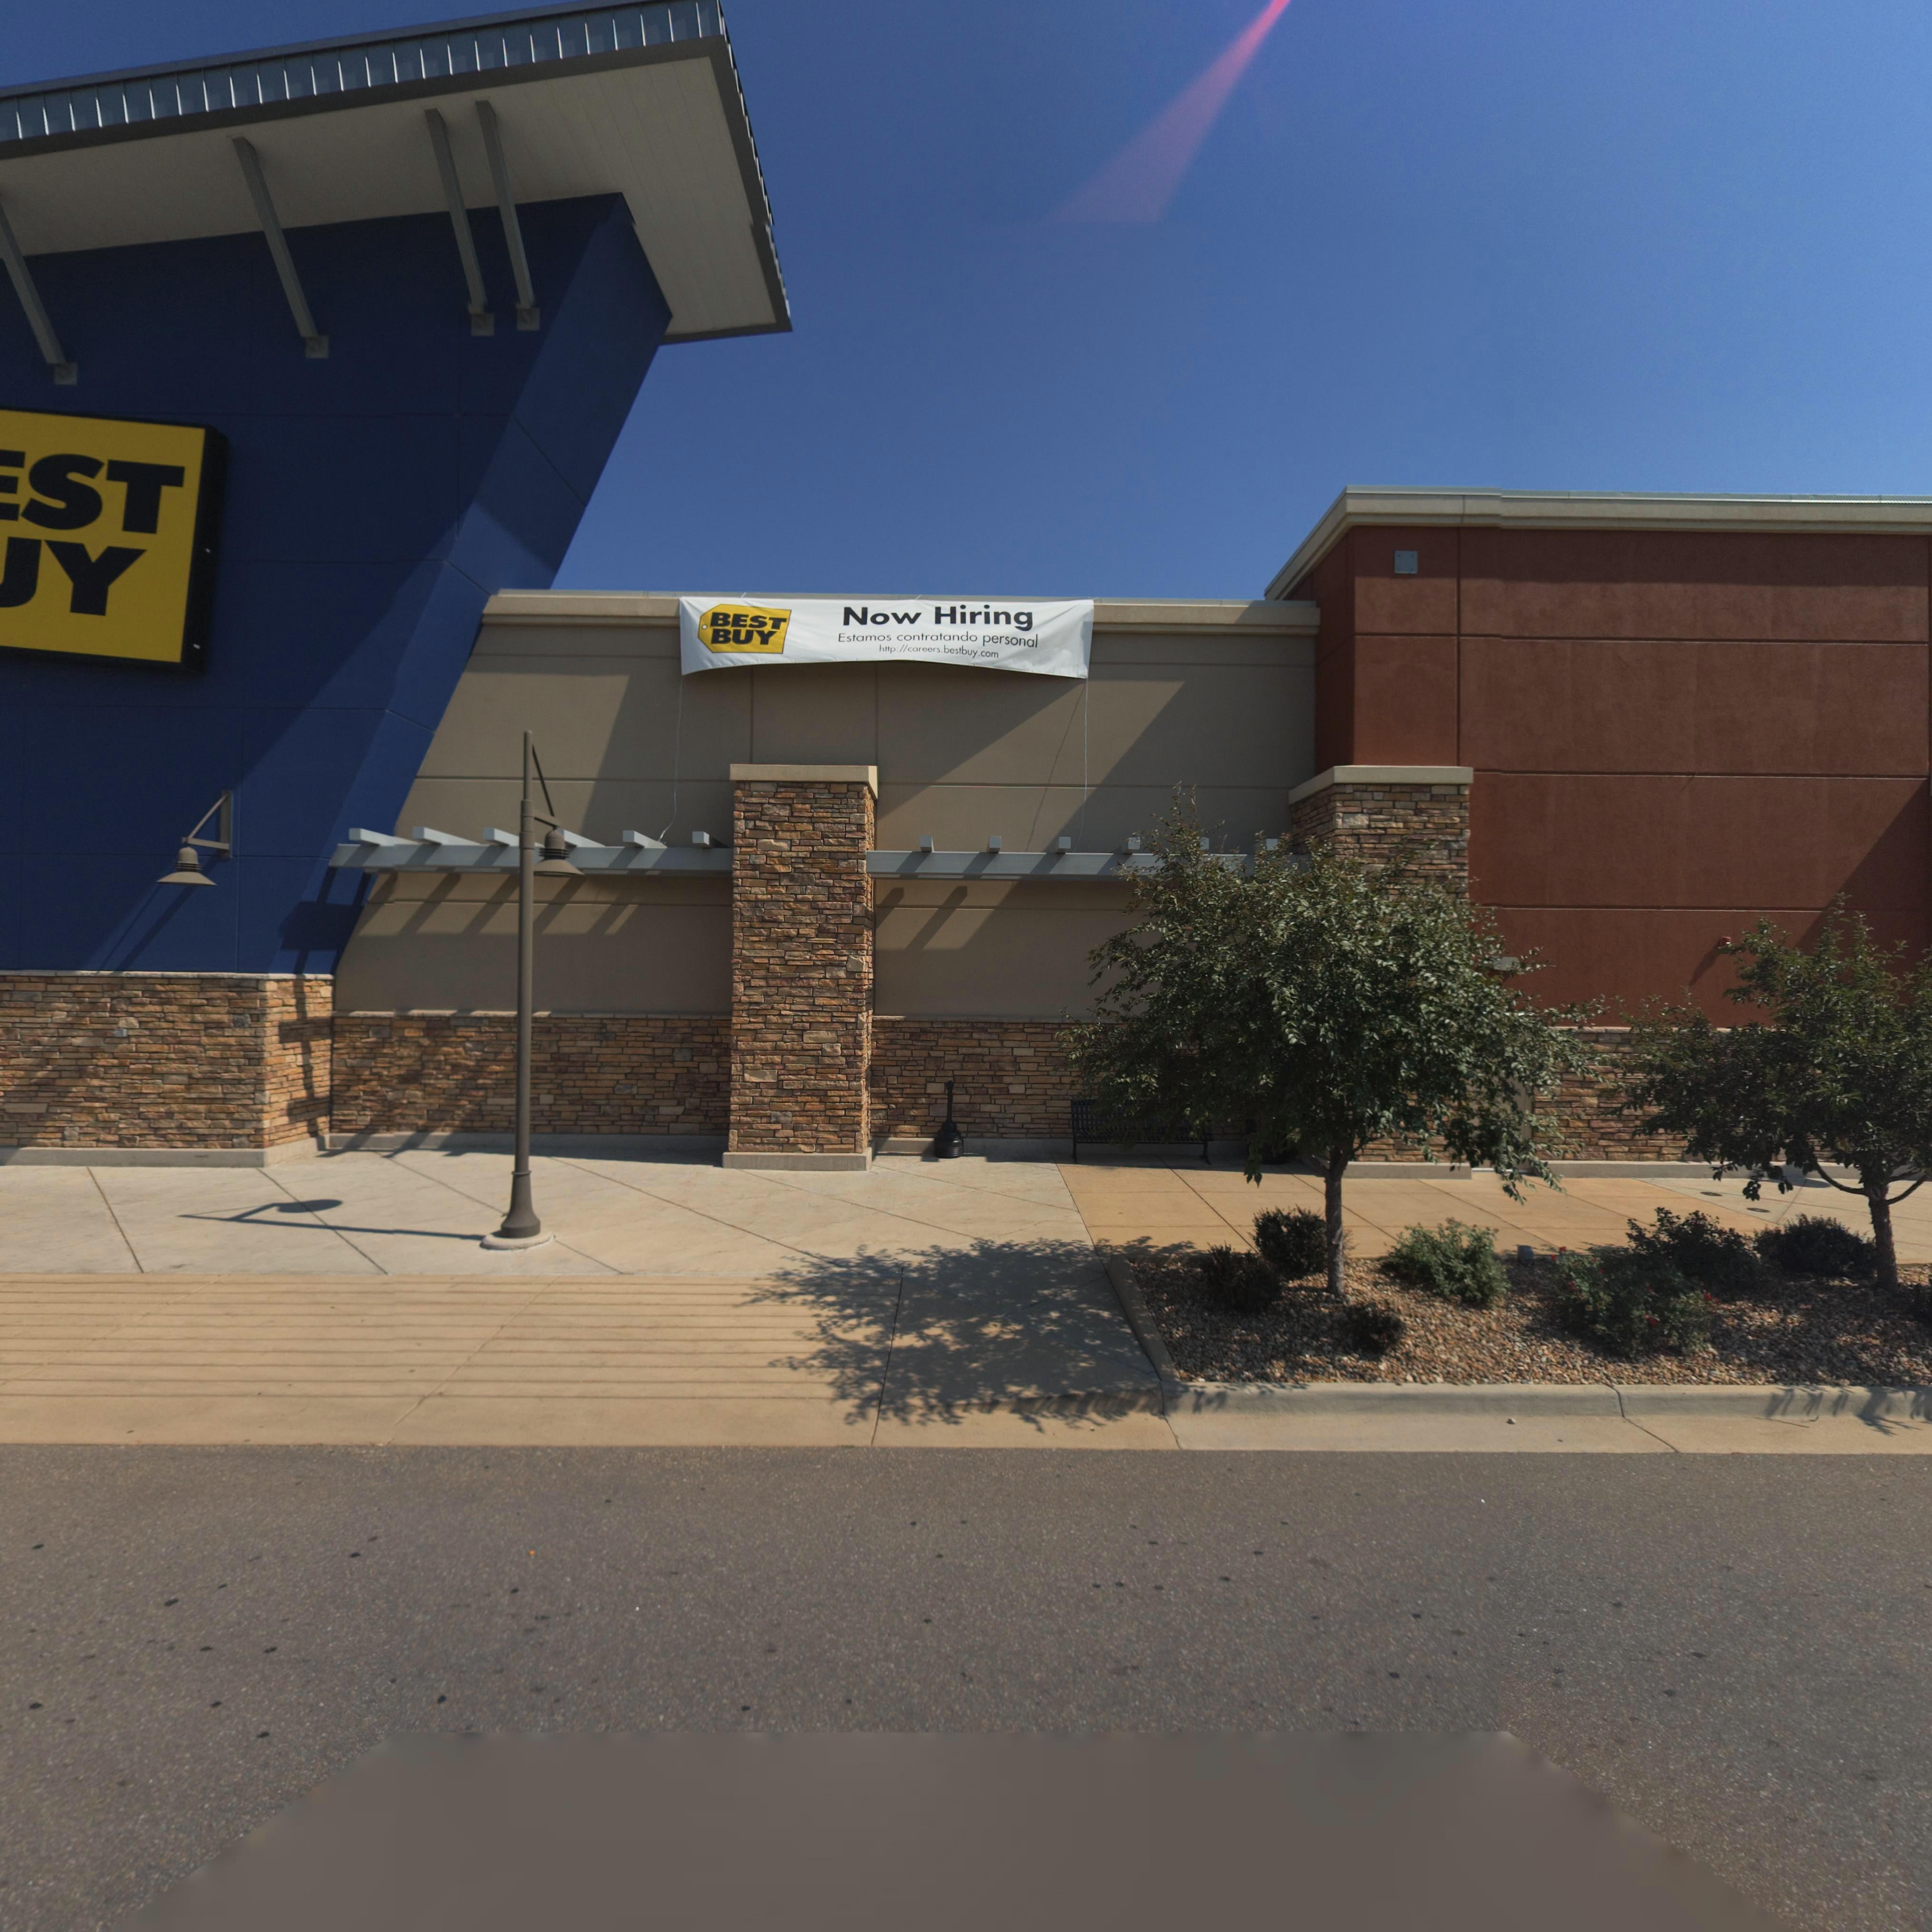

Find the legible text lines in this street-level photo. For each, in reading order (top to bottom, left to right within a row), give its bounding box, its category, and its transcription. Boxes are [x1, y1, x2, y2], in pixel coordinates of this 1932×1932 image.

[19, 452, 189, 535] BusinessName: ST
[43, 539, 148, 617] BusinessName: Y
[710, 628, 778, 645] BusinessName: BUY
[709, 612, 787, 629] BusinessName: BEST